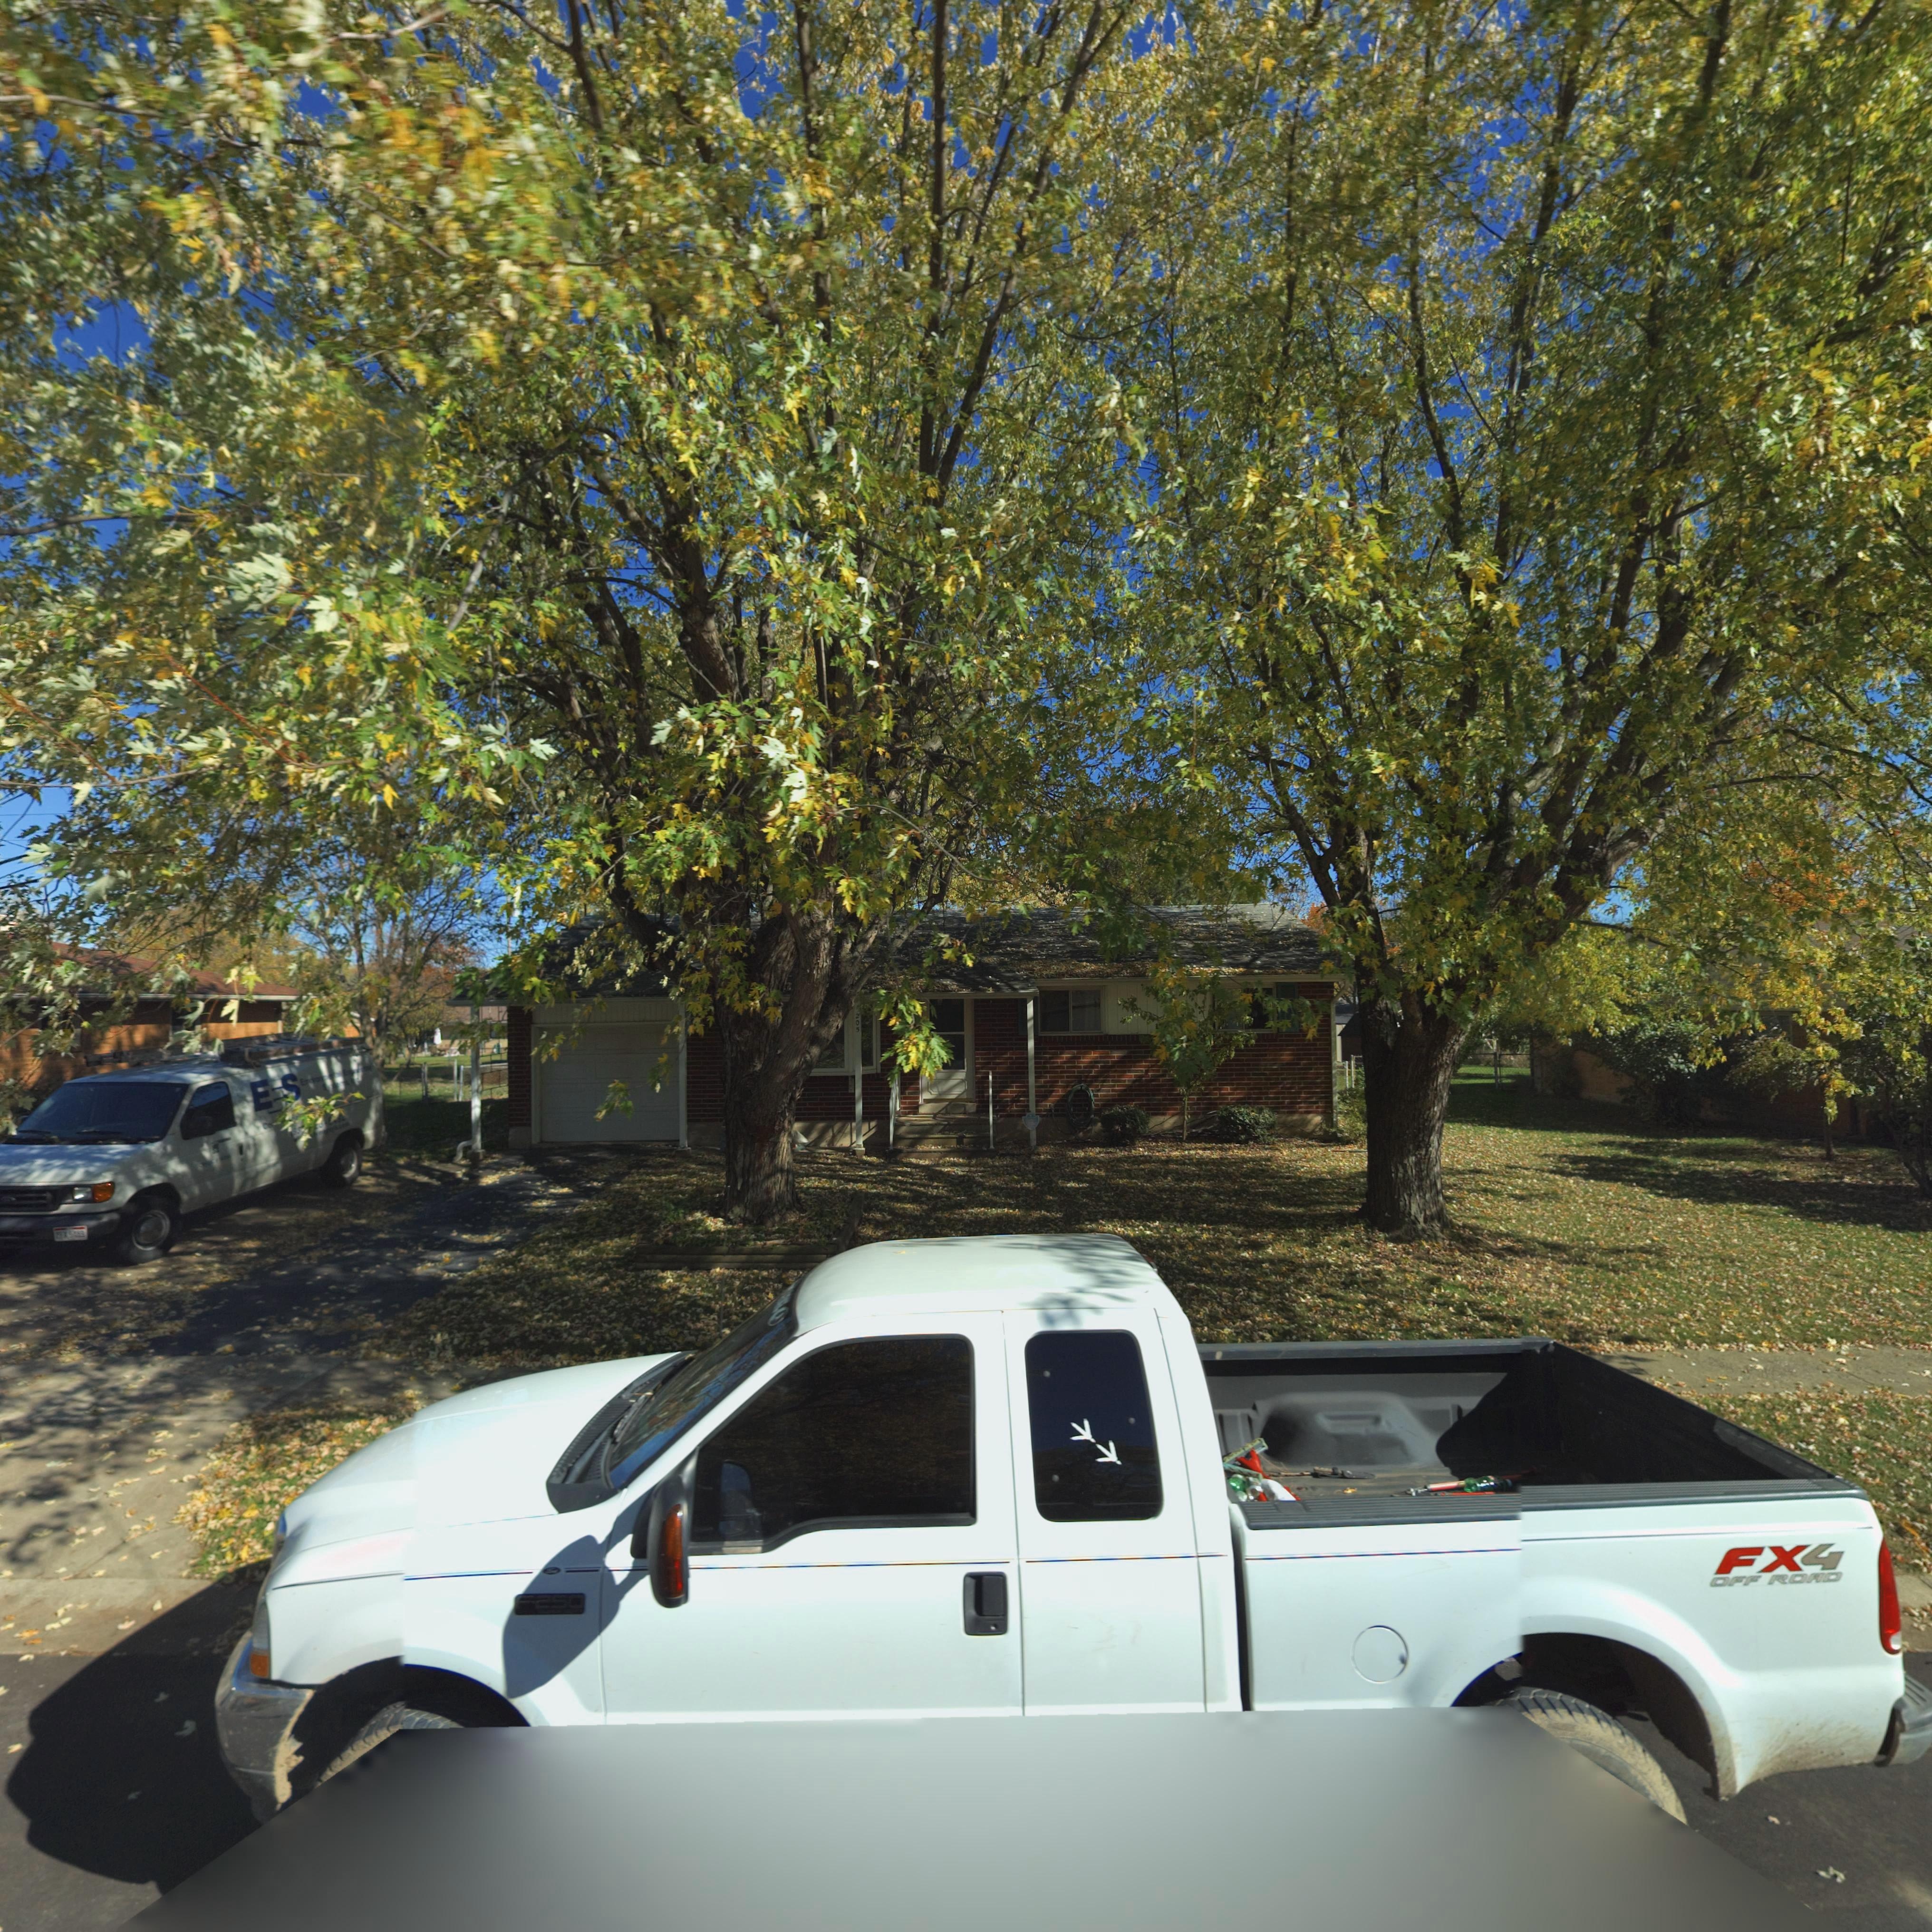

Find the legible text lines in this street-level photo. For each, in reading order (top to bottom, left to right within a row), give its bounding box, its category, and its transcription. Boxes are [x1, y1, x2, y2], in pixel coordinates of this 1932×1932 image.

[855, 1013, 860, 1033] StreetNumber: 205